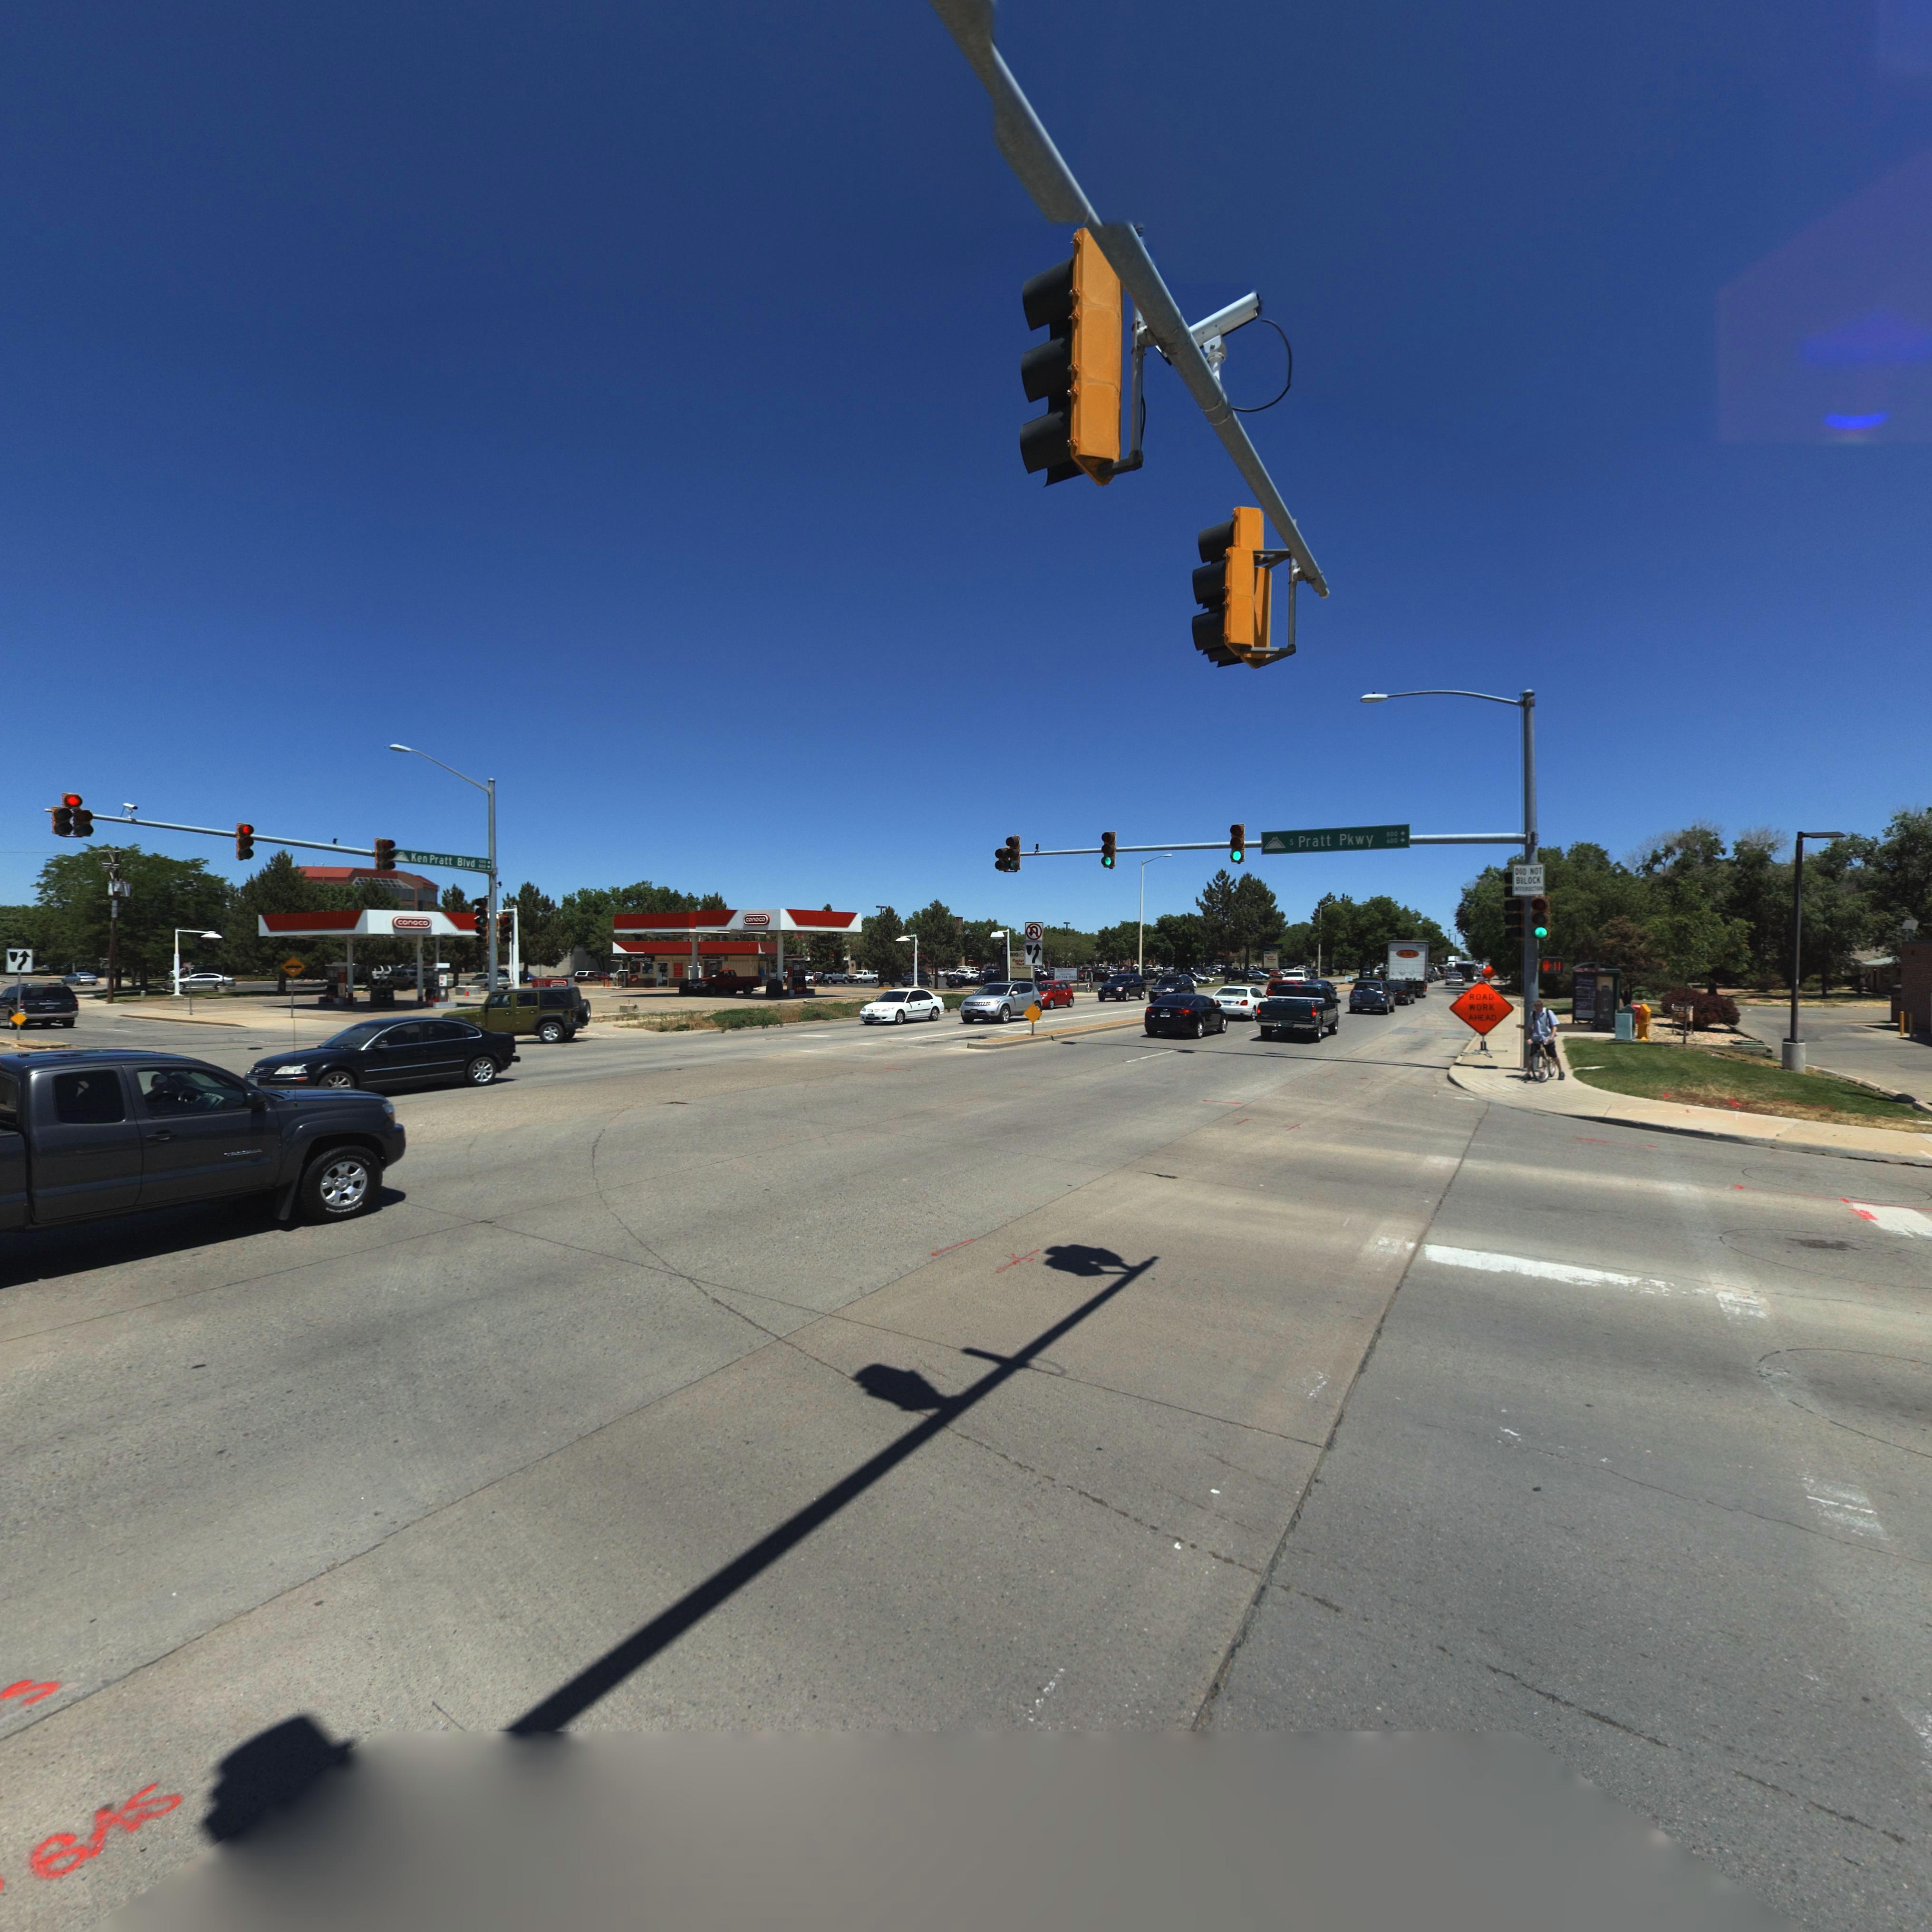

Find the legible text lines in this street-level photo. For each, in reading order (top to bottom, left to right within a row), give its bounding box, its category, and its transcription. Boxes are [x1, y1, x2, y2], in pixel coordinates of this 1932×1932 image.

[1386, 831, 1397, 837] StreetNumberRange: 800
[1289, 833, 1374, 848] StreetName: S Pratt Pkwy
[1386, 837, 1406, 843] StreetNumberRange: 600 ->
[411, 852, 475, 868] StreetName: Ken Pratt Blvd
[397, 919, 428, 925] BusinessName: conoco
[745, 917, 765, 922] BusinessName: conoco
[1010, 952, 1024, 956] BusinessName: BIG*O***
[551, 982, 565, 986] BusinessName: ***o**